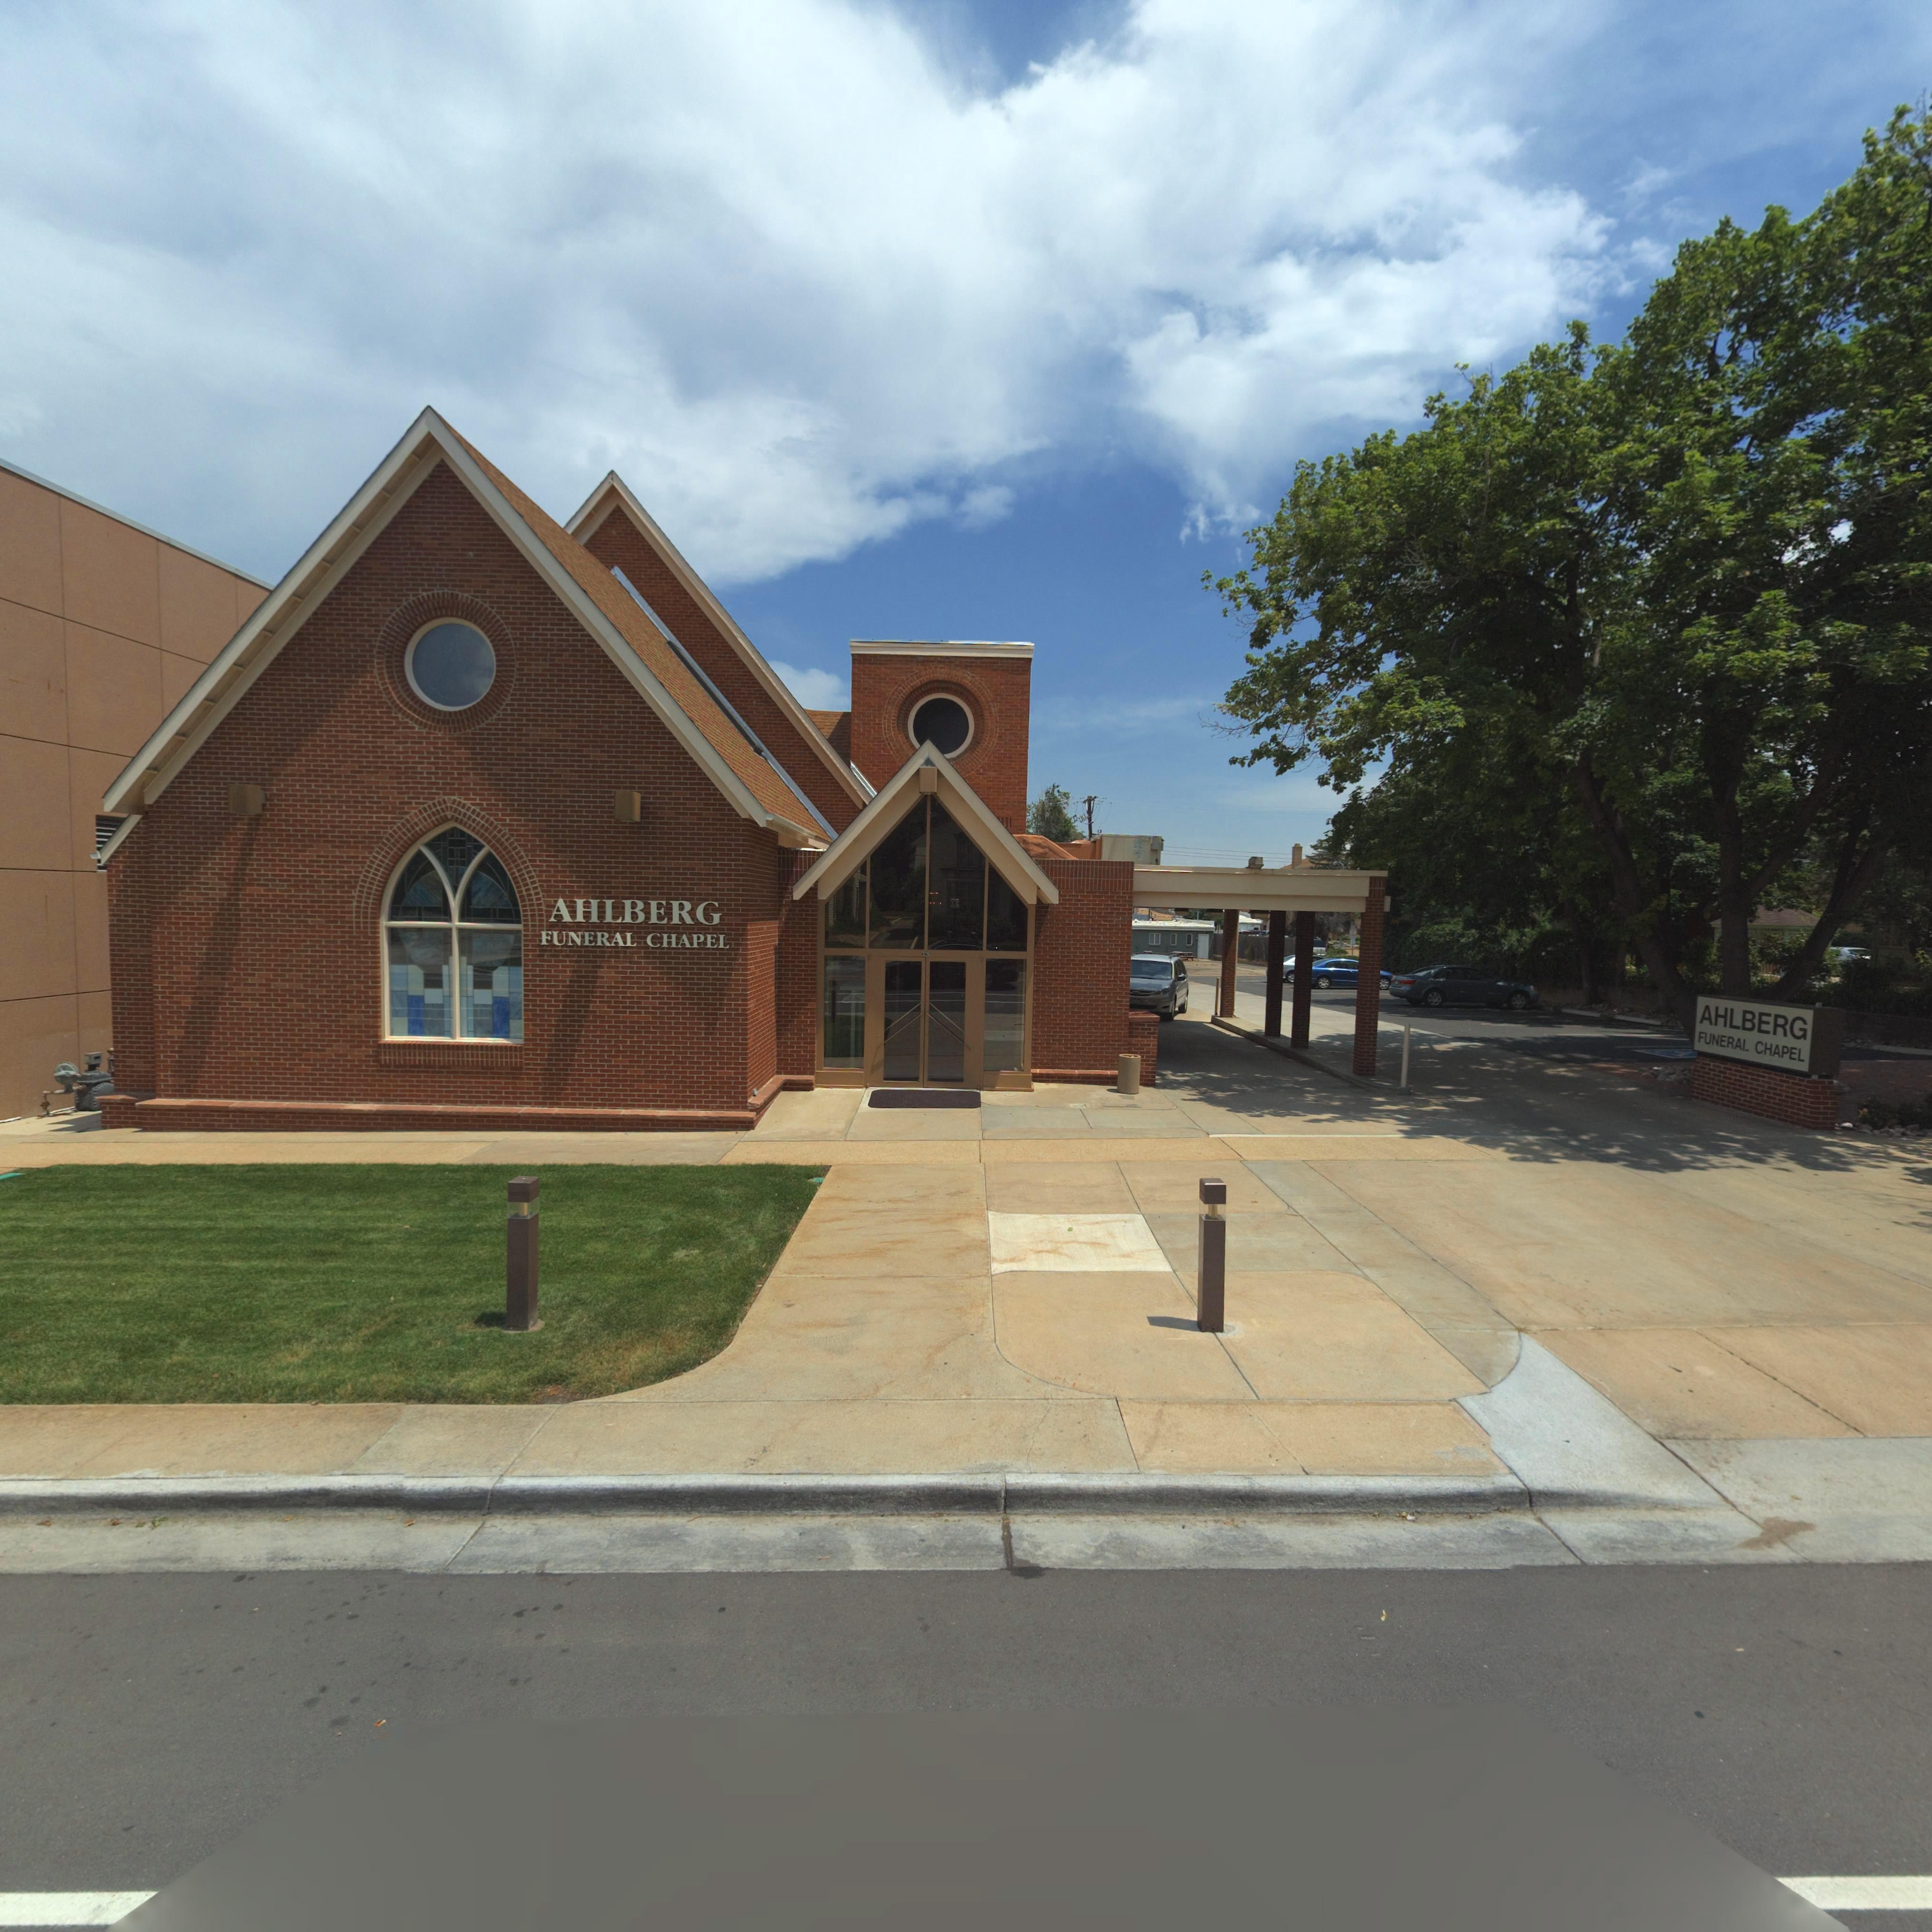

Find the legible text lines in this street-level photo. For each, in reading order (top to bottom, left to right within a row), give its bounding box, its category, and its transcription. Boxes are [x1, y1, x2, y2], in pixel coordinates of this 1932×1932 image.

[547, 897, 724, 925] BusinessName: AHLBERG
[540, 930, 730, 949] BusinessName: FUNERAL CHAPEL
[1699, 1003, 1809, 1042] BusinessName: AHLBERG
[1698, 1031, 1805, 1062] BusinessName: FUNERAL CHAPEL